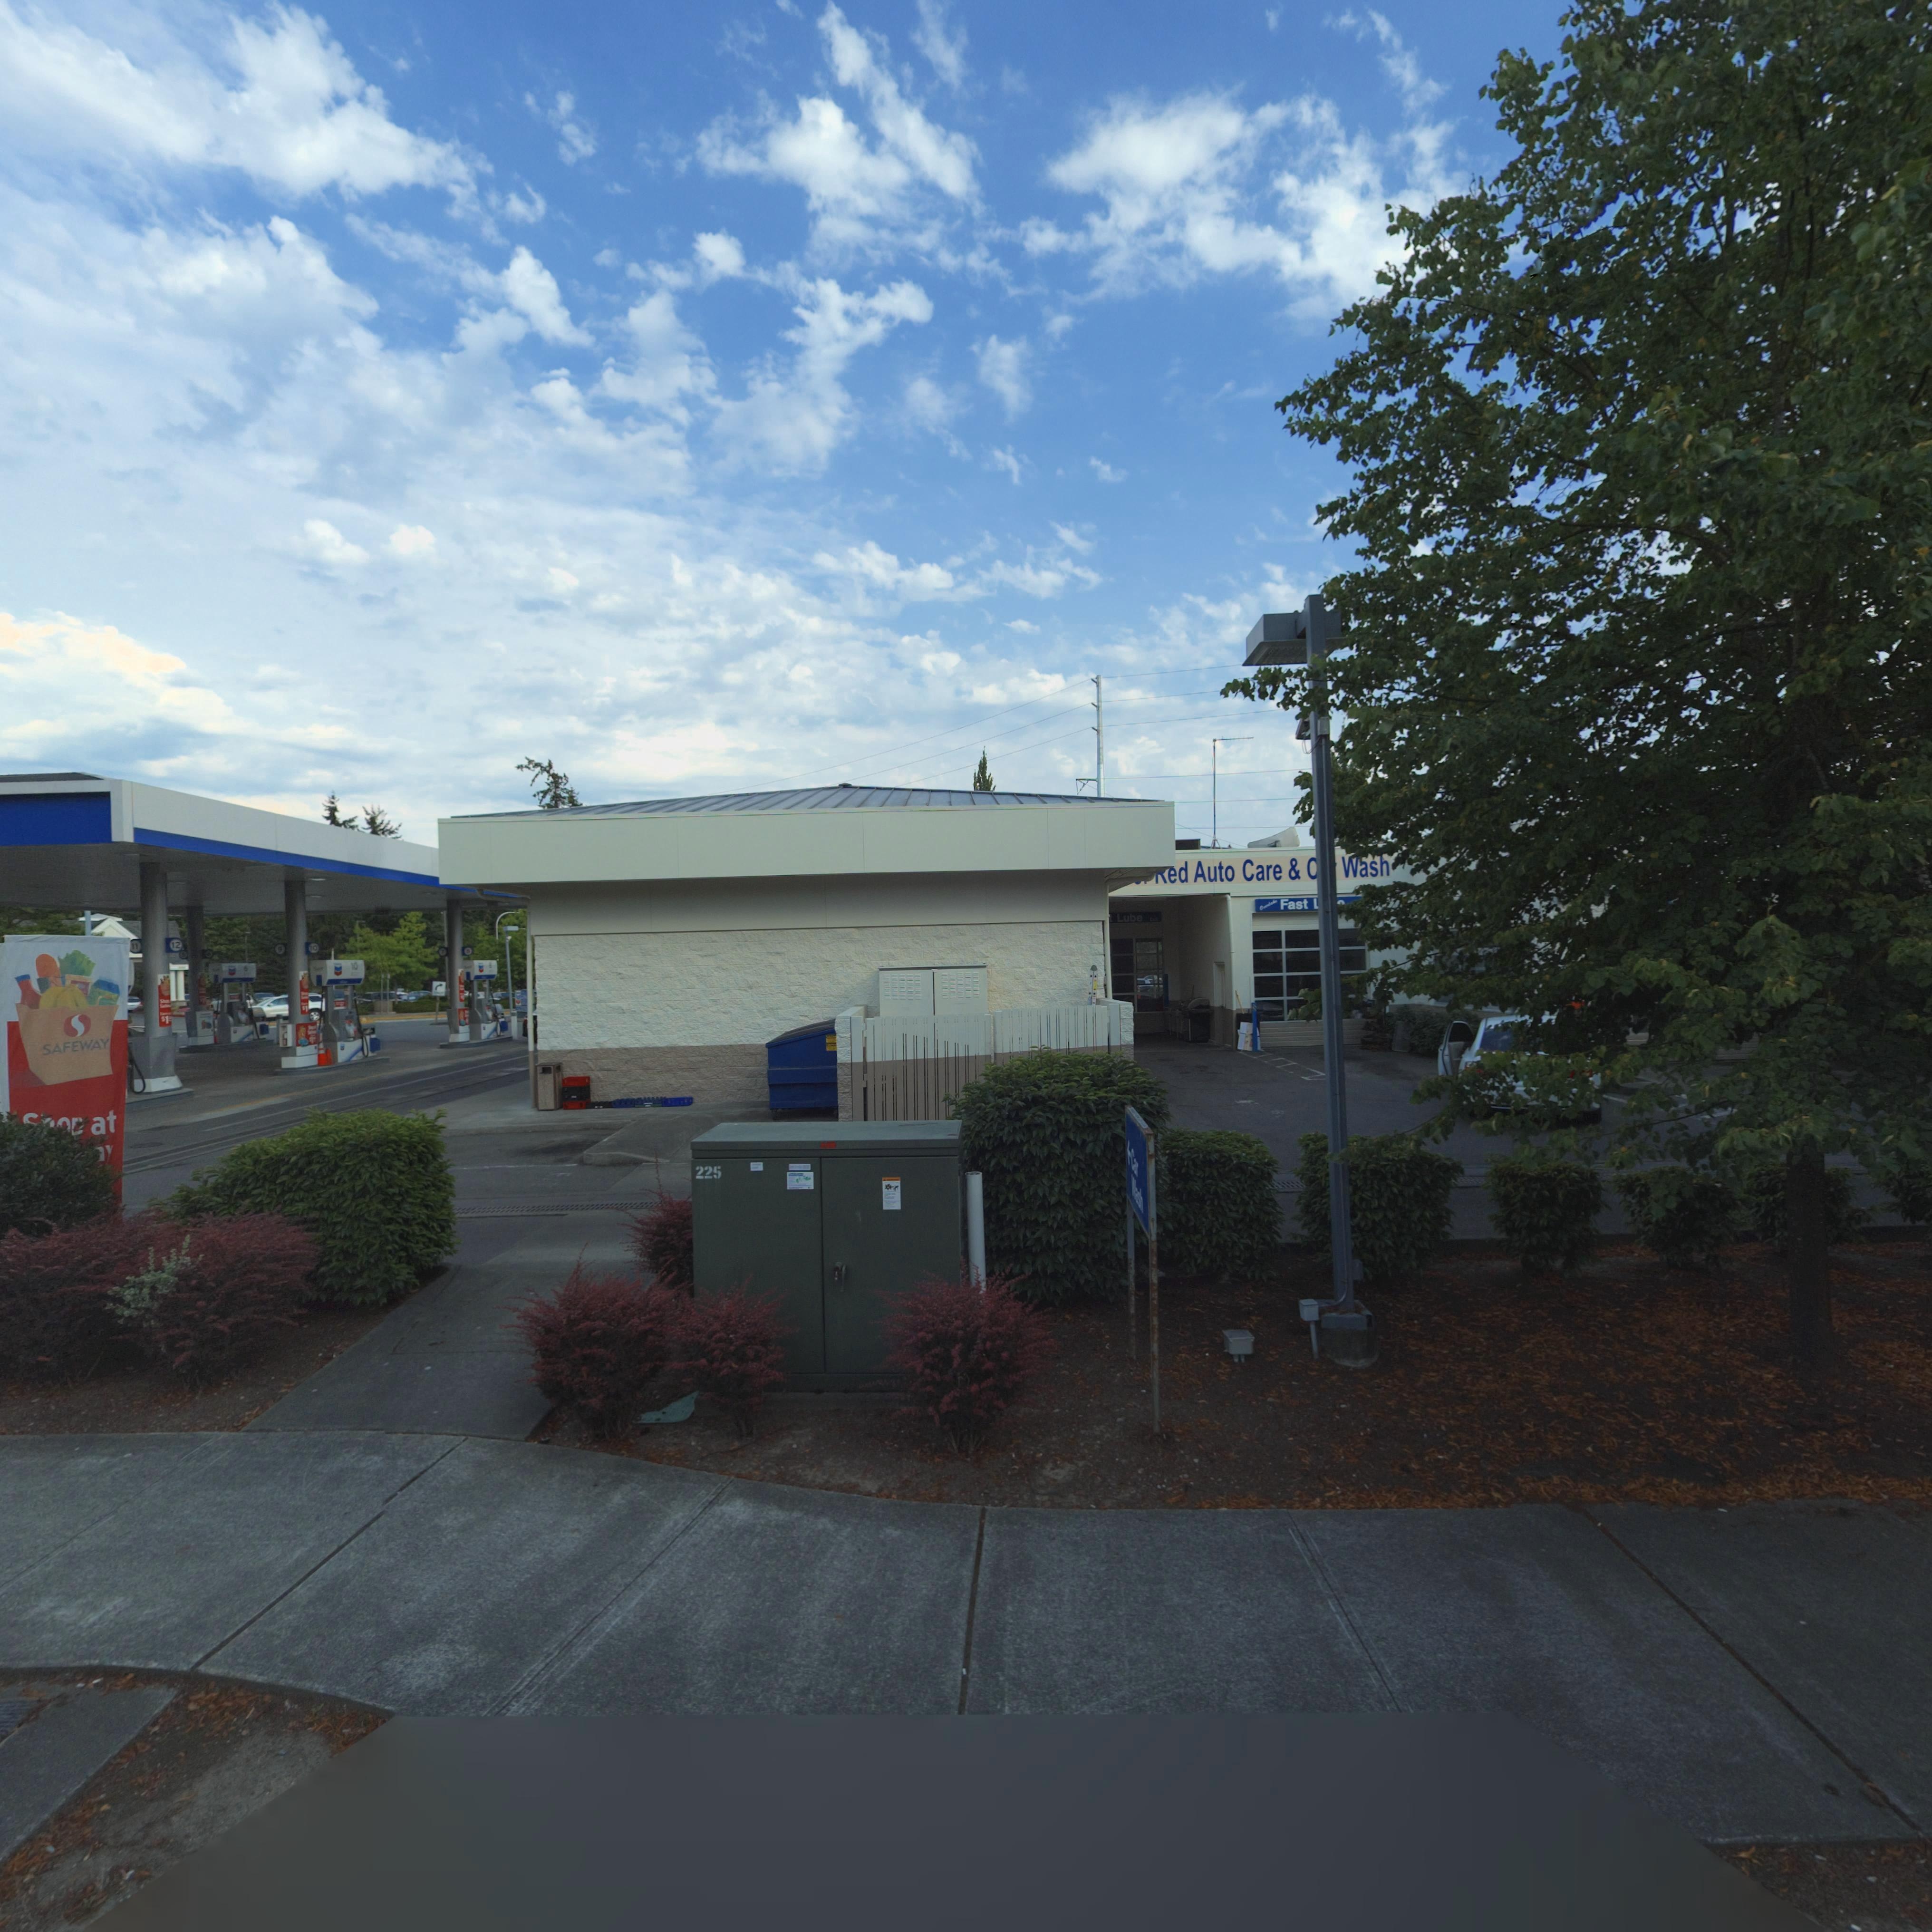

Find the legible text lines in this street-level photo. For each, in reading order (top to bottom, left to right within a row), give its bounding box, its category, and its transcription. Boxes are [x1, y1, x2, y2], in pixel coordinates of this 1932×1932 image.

[1155, 858, 1301, 883] BusinessName: *ed Auto Care *
[1341, 854, 1390, 878] BusinessName: Wash
[1280, 899, 1309, 909] BusinessName: Fast
[42, 1038, 109, 1056] BusinessName: SAFEWAY
[696, 1166, 722, 1179] StreetNumber: 225